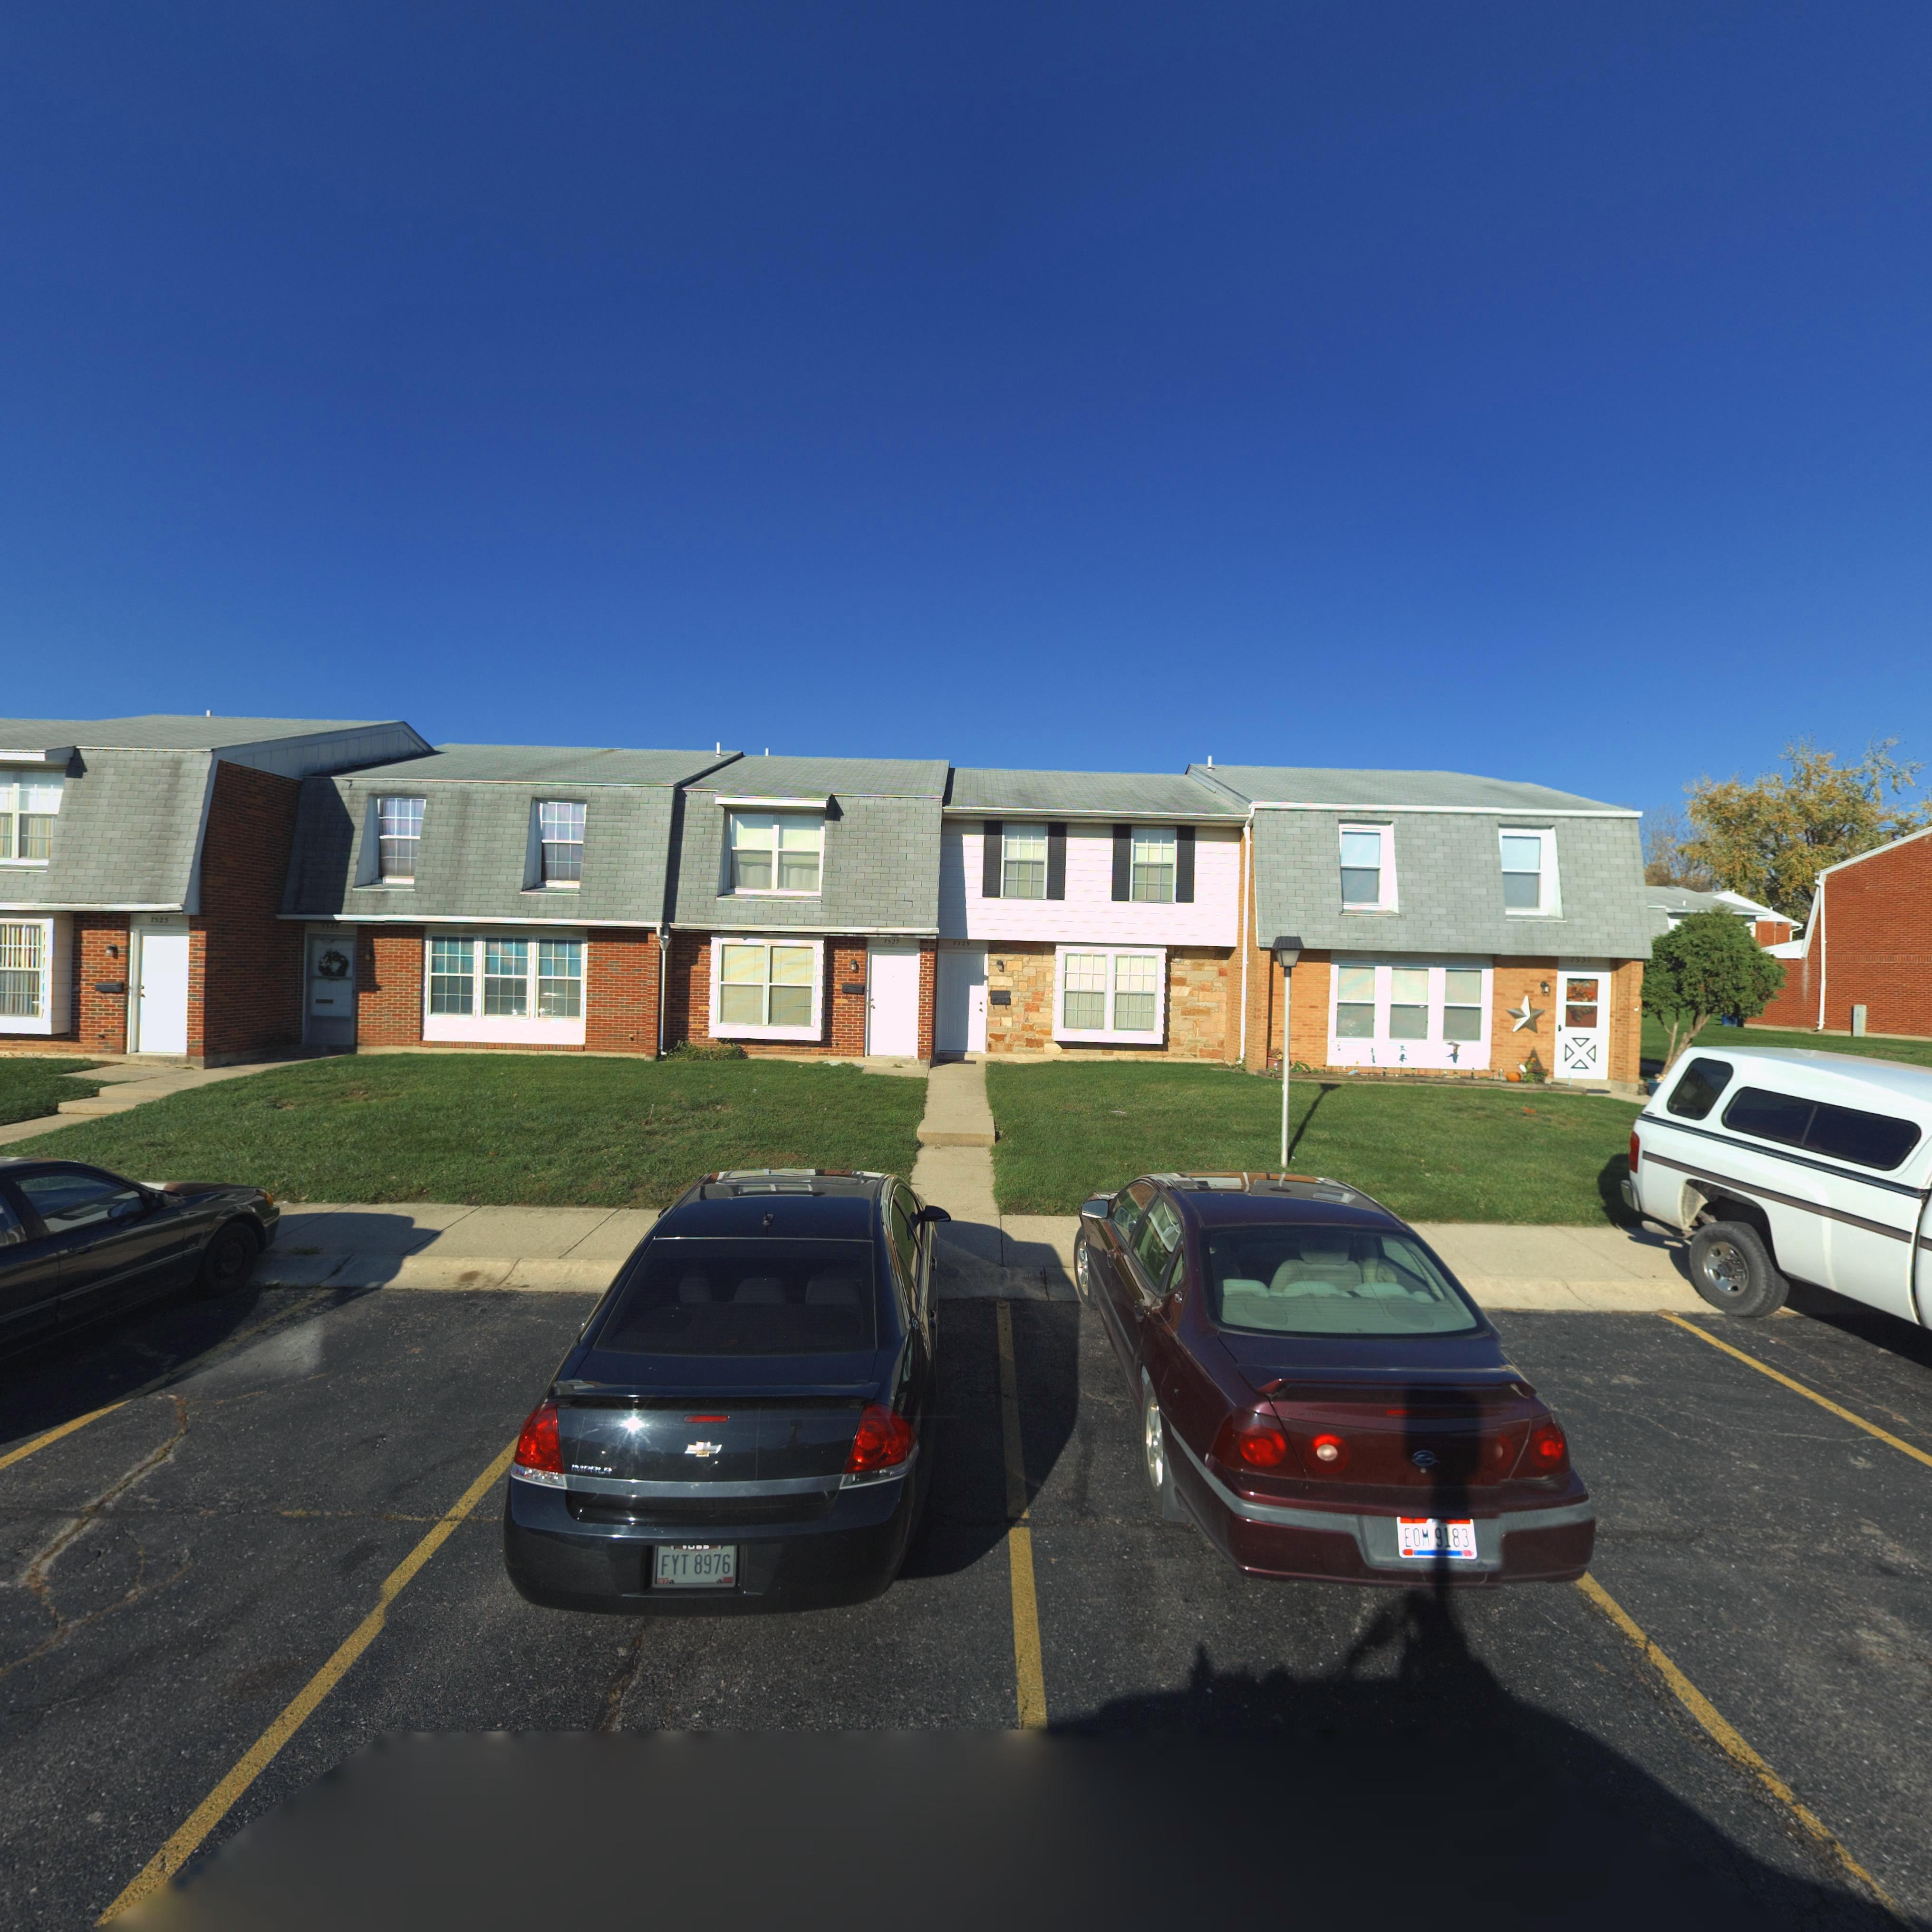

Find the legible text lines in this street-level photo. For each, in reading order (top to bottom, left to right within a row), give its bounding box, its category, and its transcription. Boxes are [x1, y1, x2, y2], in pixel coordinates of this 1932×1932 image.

[150, 917, 169, 923] StreetNumber: 7525
[321, 923, 340, 929] StreetNumber: 7525
[883, 938, 900, 945] StreetNumber: 7527
[952, 940, 970, 947] StreetNumber: 7529
[1569, 956, 1591, 964] StreetNumber: 7531